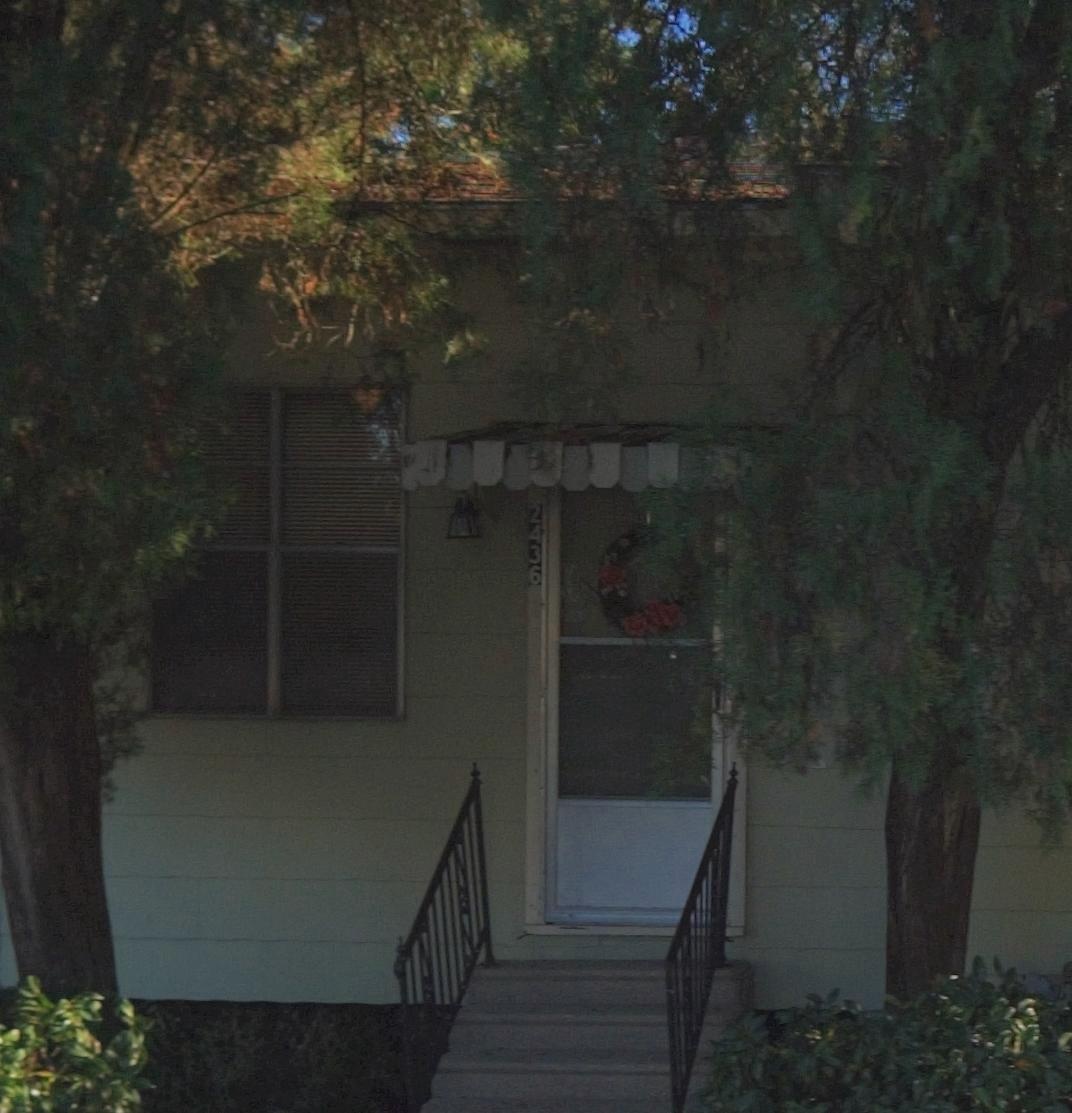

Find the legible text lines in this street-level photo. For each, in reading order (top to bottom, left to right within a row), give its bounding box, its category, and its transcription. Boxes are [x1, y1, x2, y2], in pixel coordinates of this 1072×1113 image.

[527, 502, 543, 587] StreetNumber: 2436